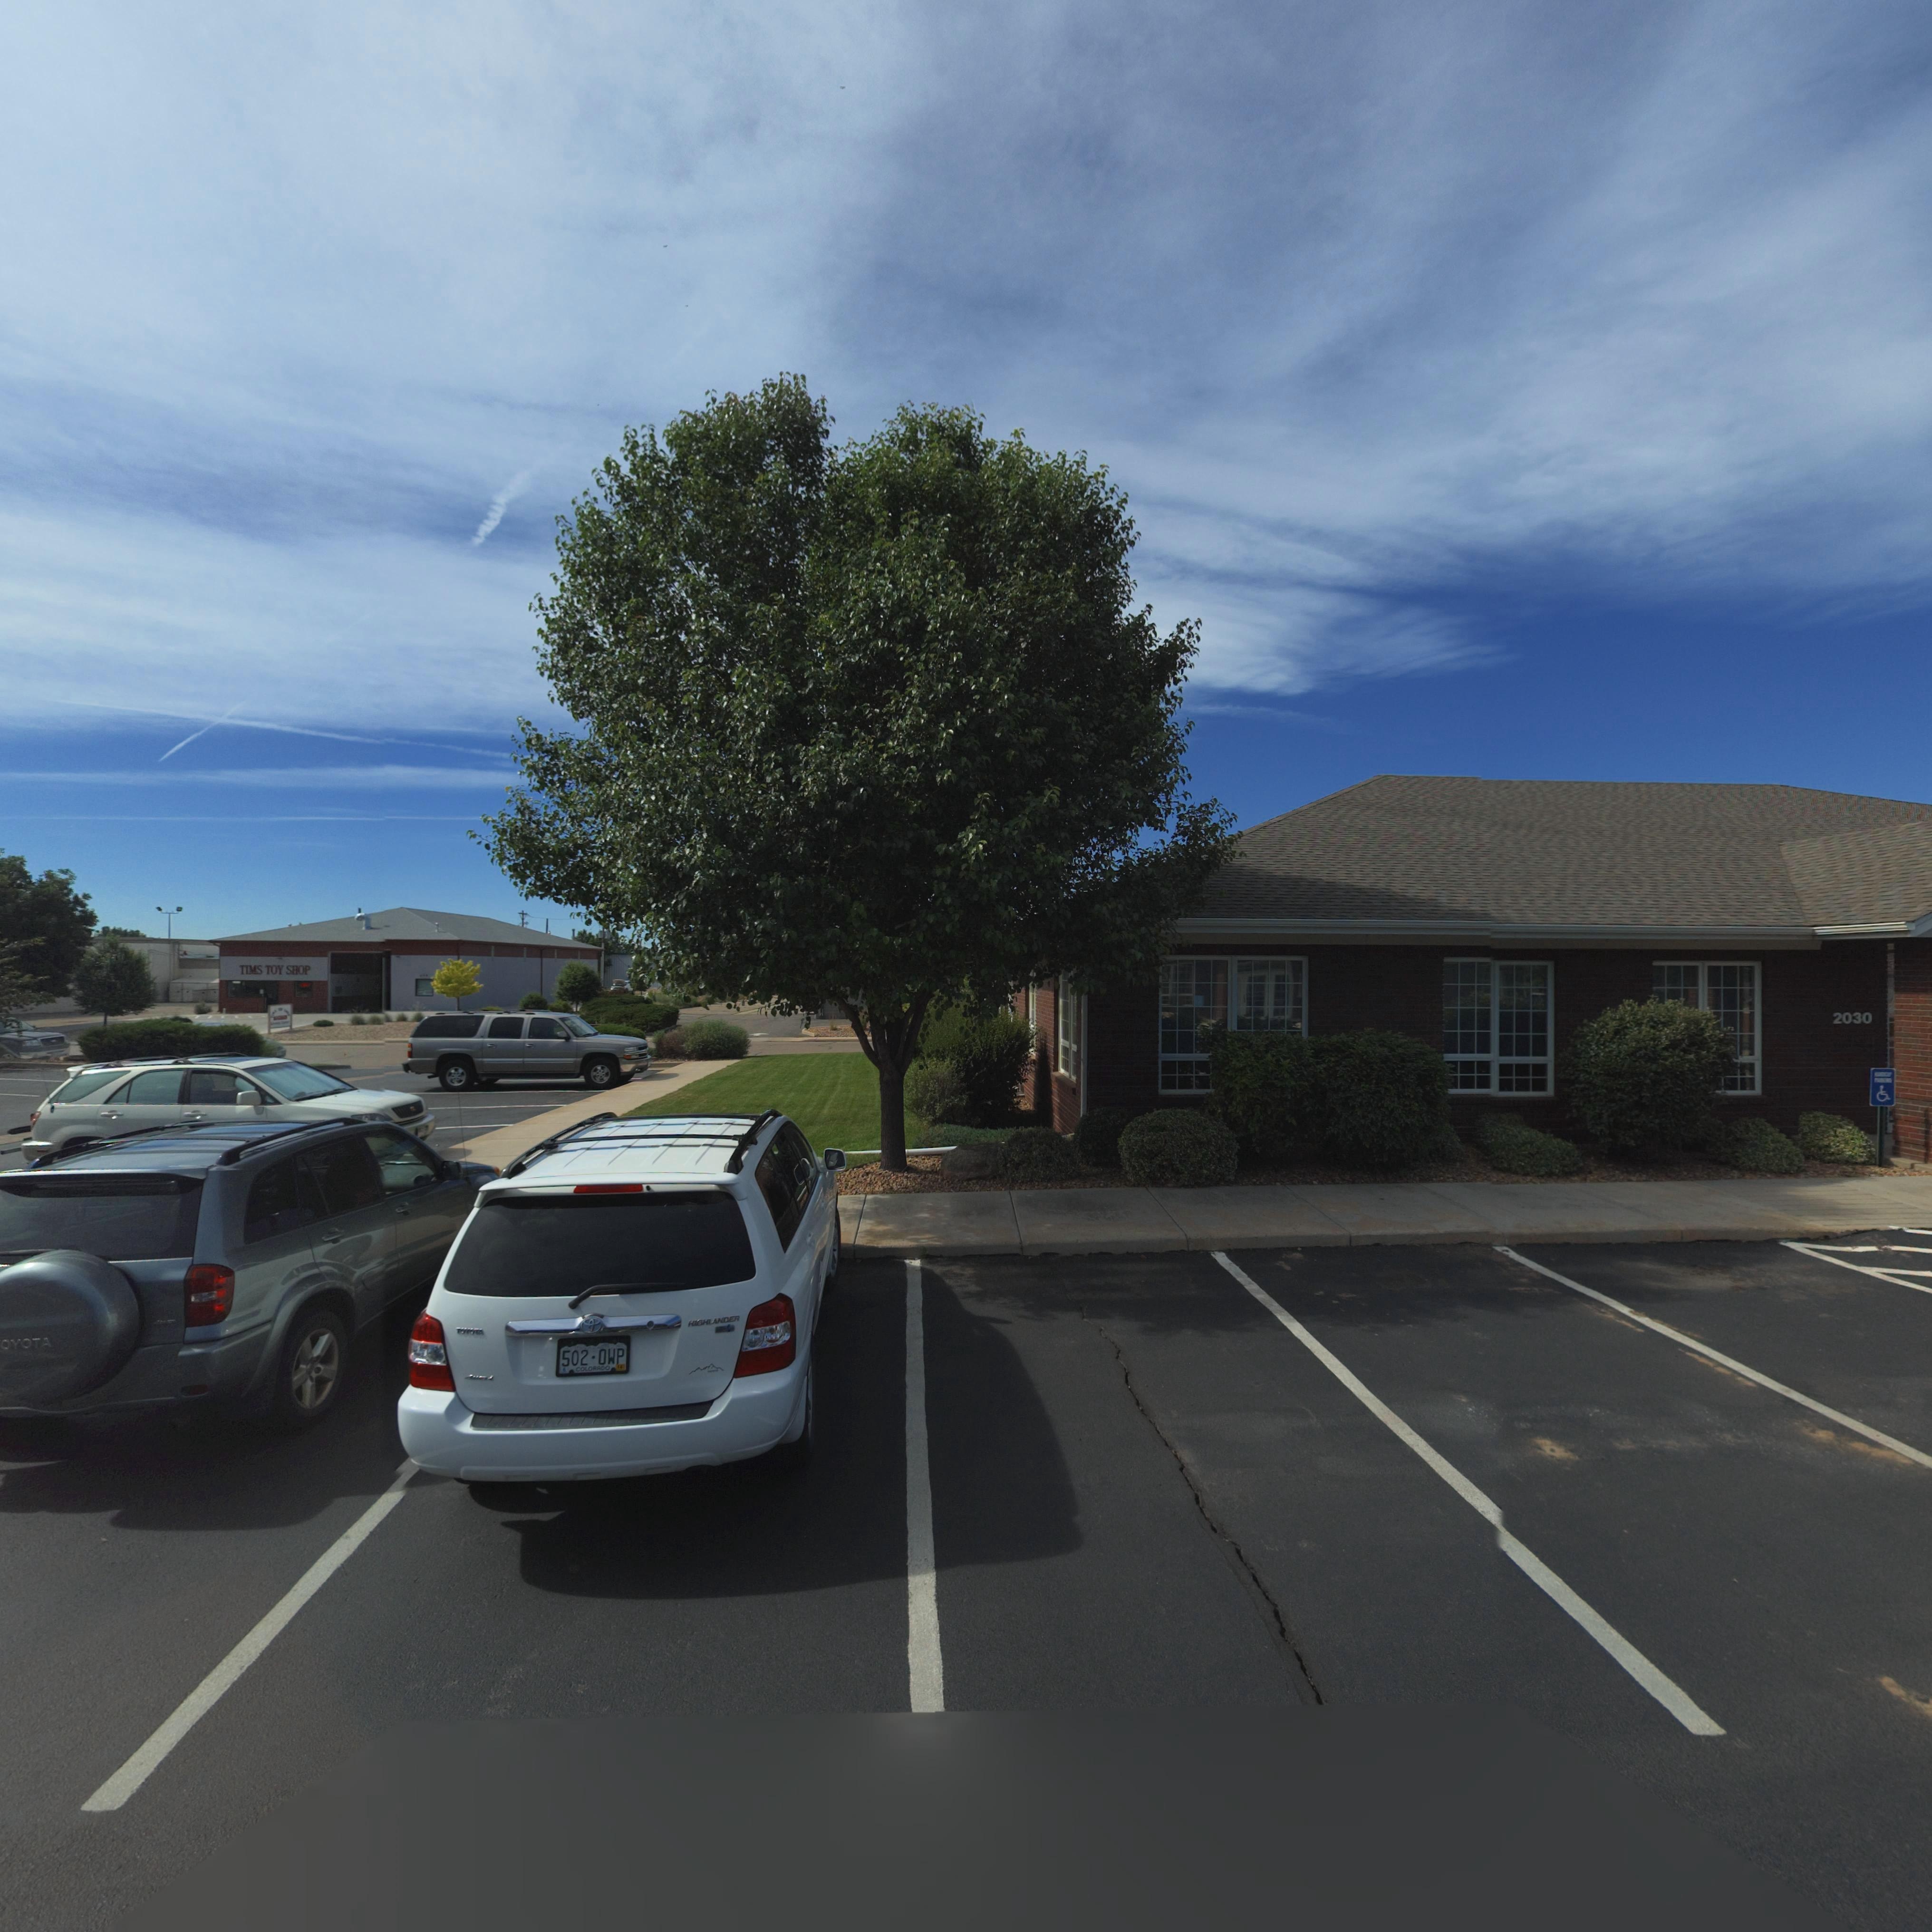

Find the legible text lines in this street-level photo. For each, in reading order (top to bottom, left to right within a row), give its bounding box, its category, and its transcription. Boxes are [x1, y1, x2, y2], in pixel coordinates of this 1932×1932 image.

[238, 964, 311, 975] BusinessName: TIMS TOY SHOP
[1832, 1011, 1874, 1025] StreetNumber: 2030